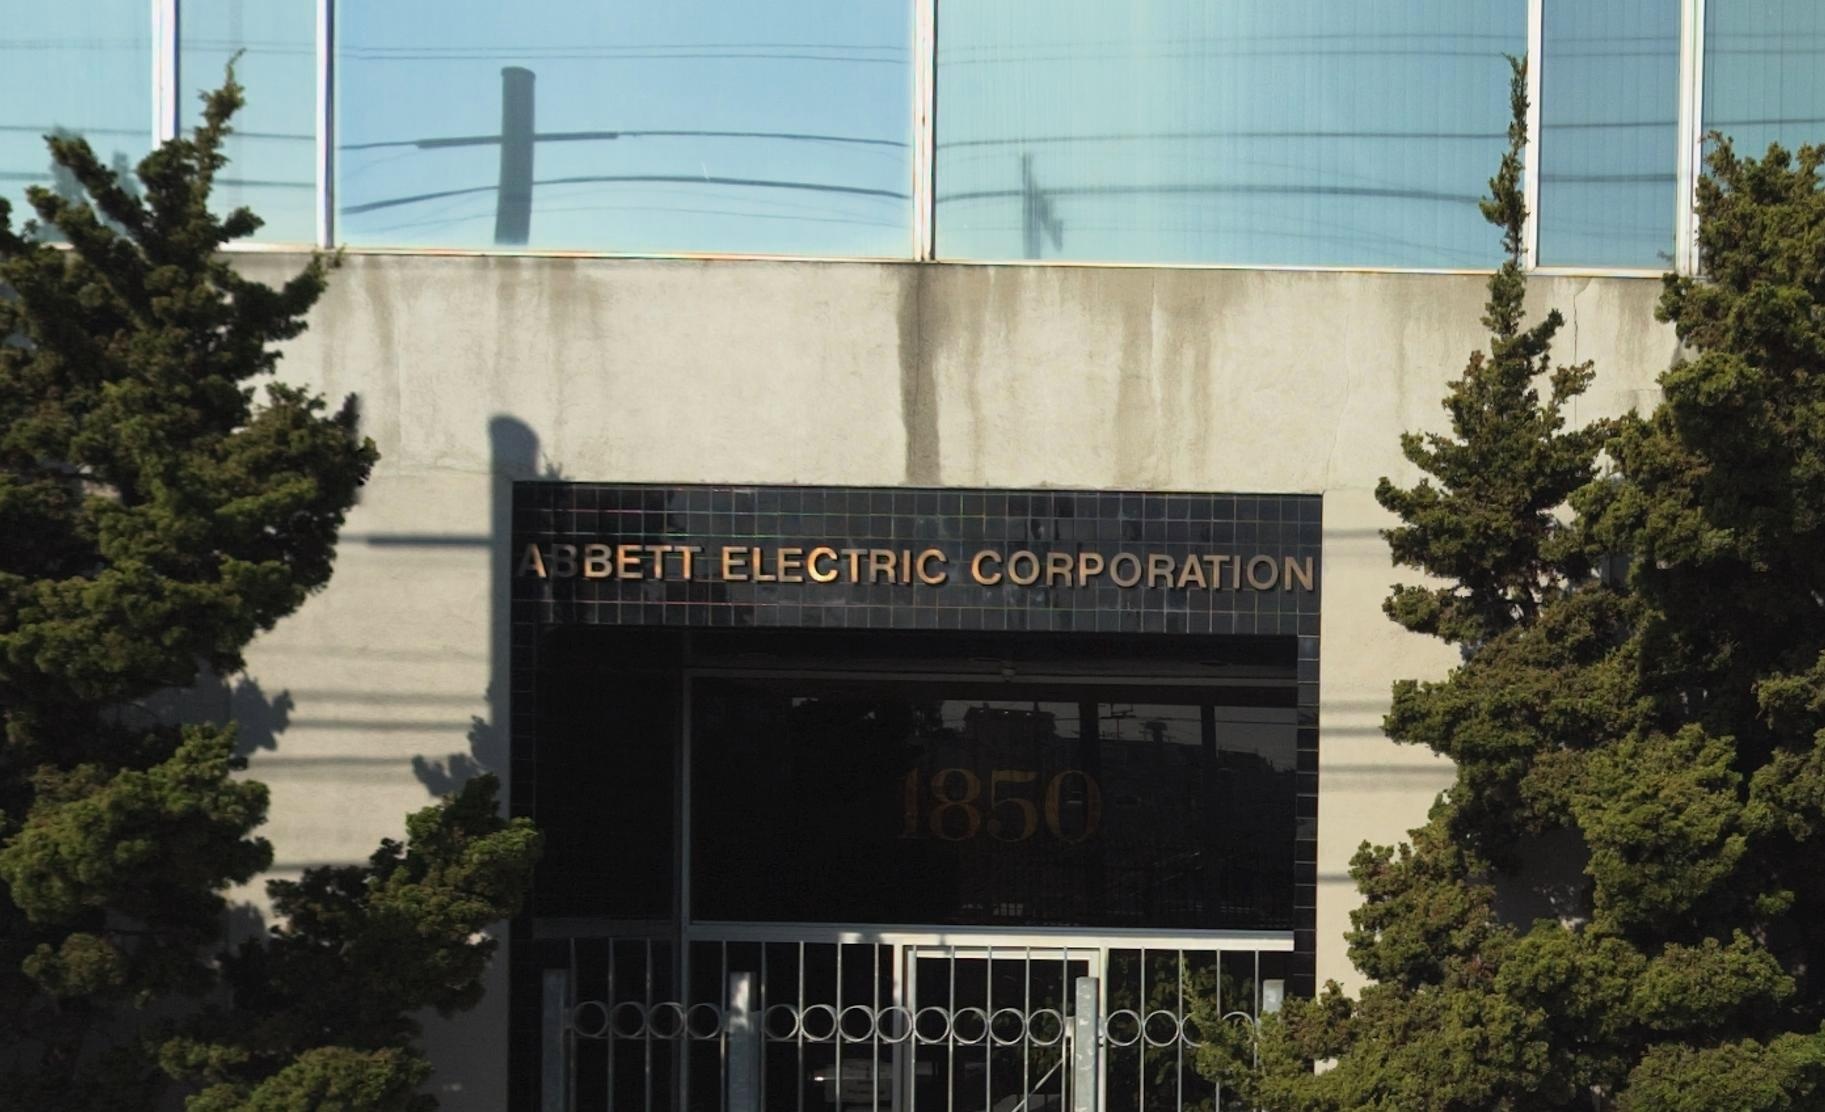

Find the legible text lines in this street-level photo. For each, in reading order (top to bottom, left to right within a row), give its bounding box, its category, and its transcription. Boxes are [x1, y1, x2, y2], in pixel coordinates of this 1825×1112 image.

[516, 541, 1317, 594] BusinessName: Abbett Electric Corporation
[892, 765, 1104, 847] StreetNumber: 1850